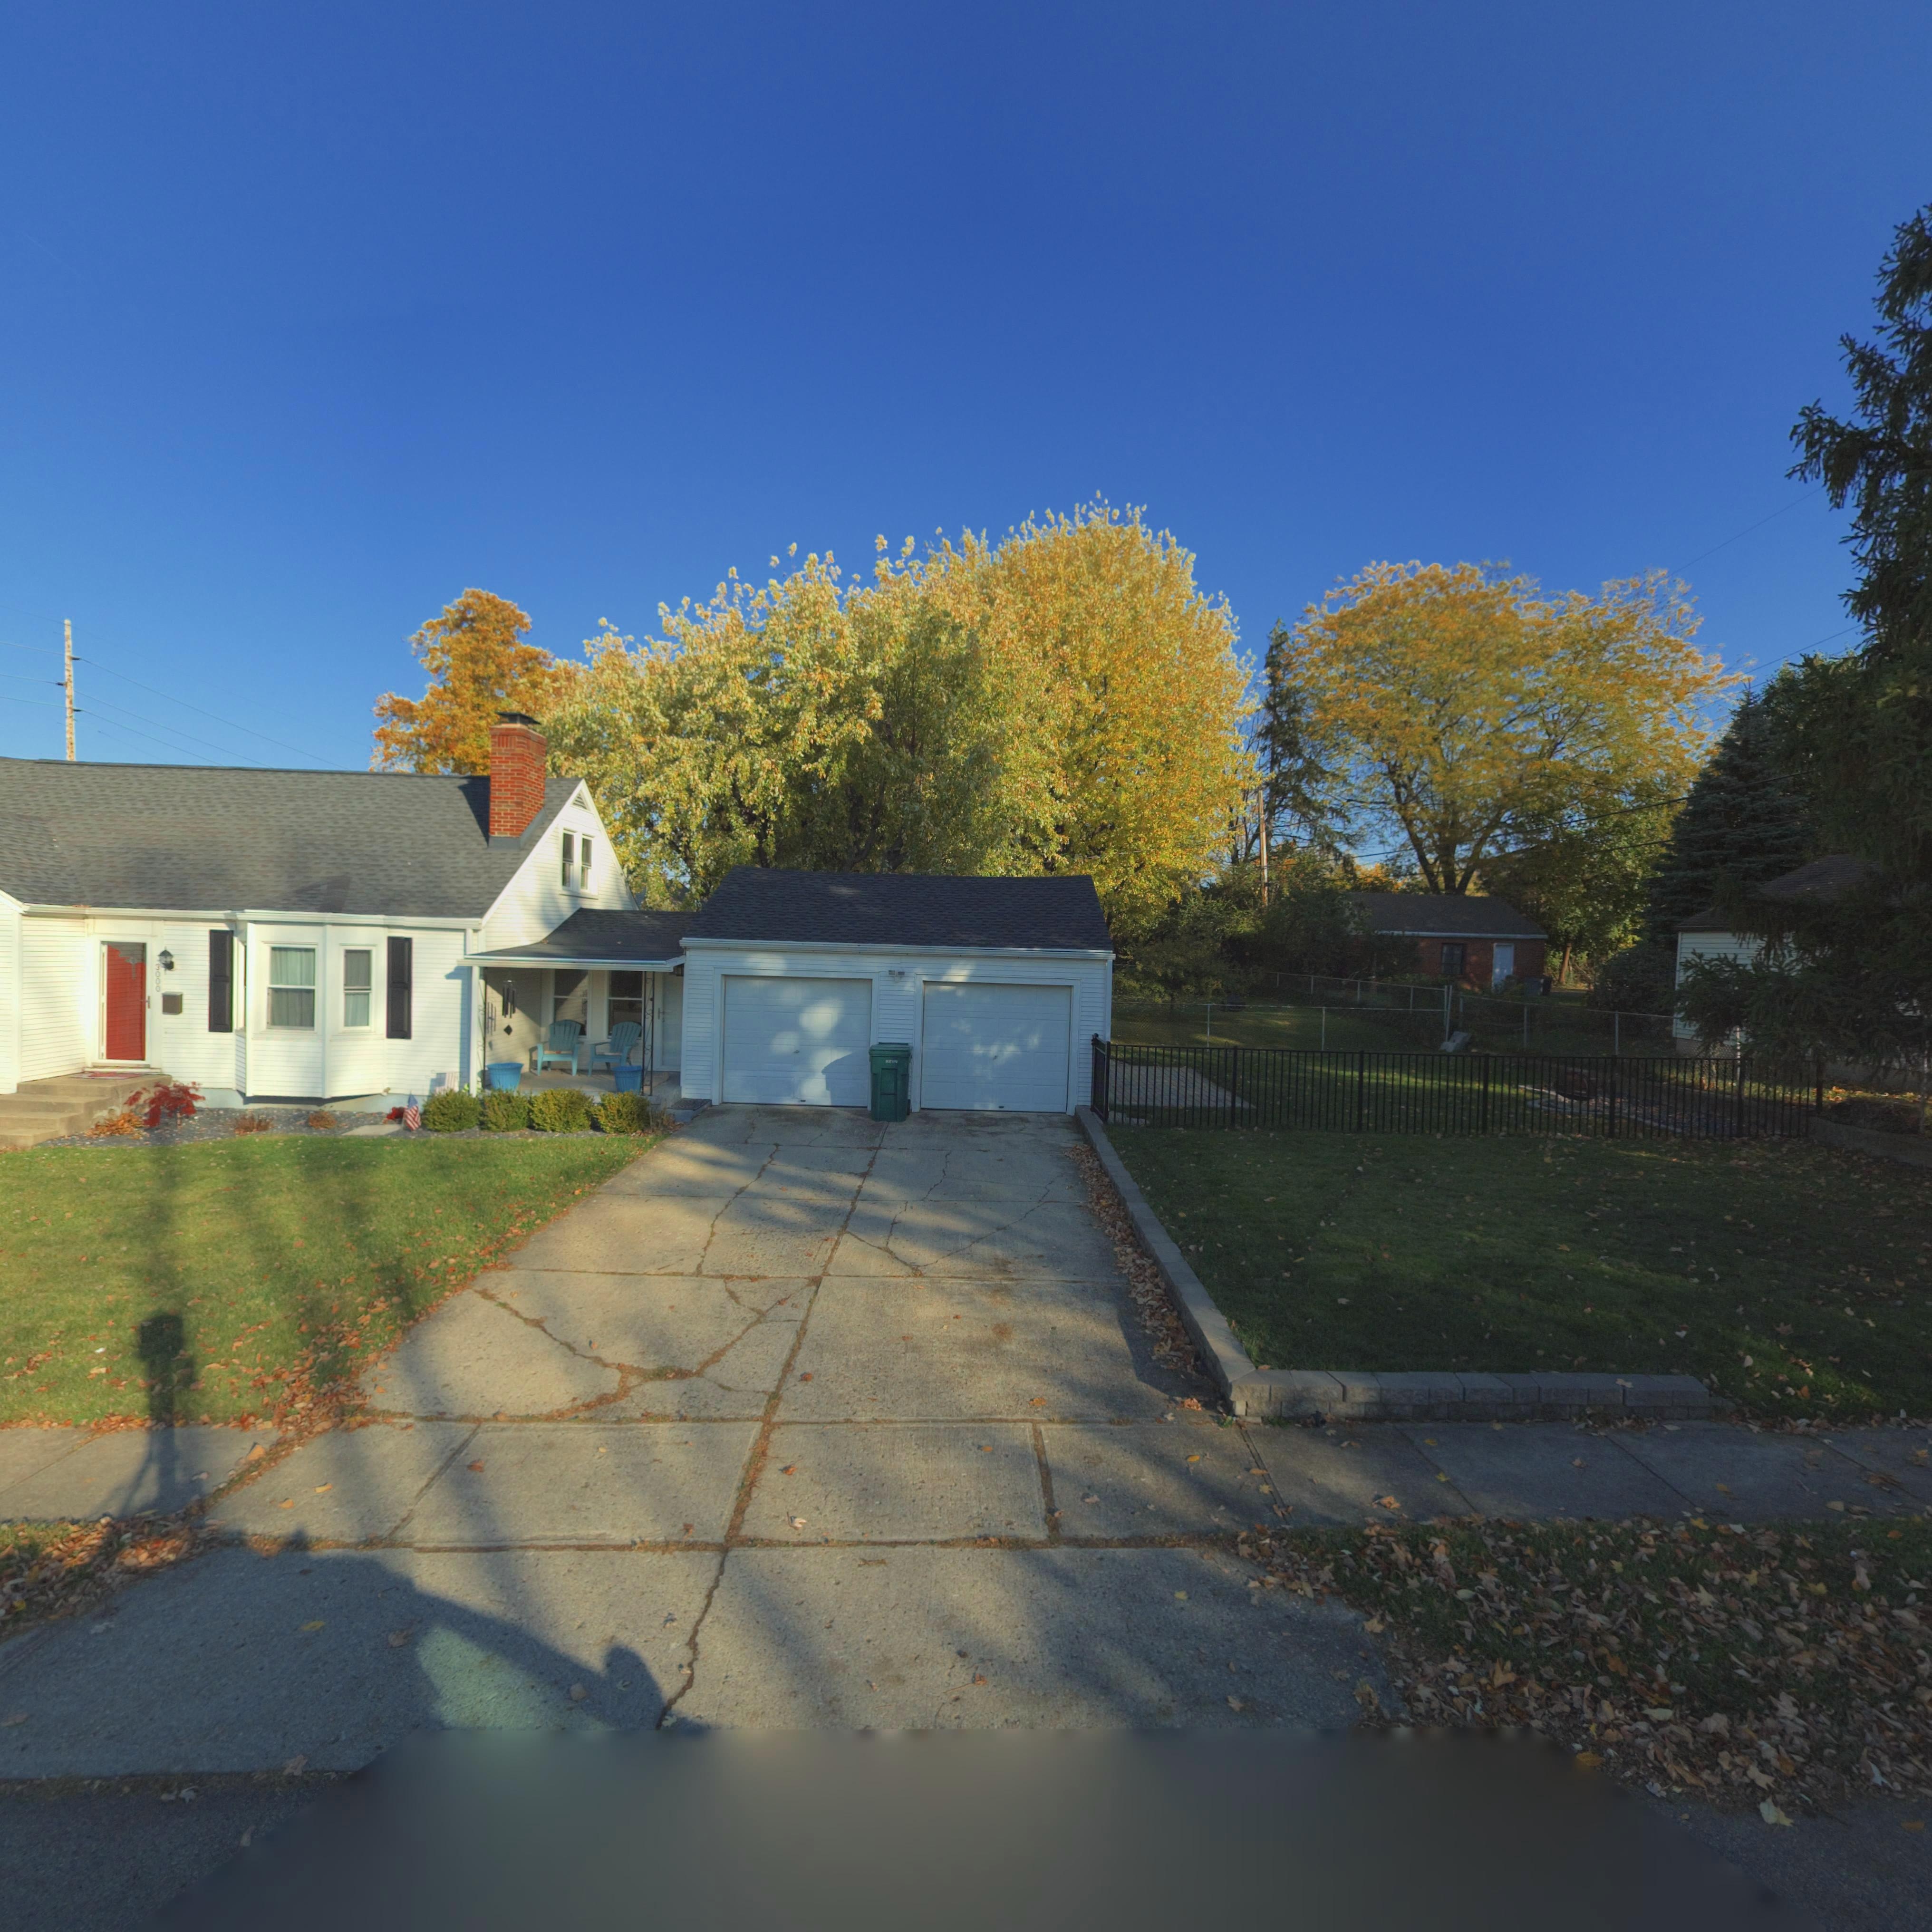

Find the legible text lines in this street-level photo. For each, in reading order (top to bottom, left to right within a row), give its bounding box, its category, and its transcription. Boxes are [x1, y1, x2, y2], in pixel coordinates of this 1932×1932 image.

[155, 963, 161, 992] StreetNumber: 3000